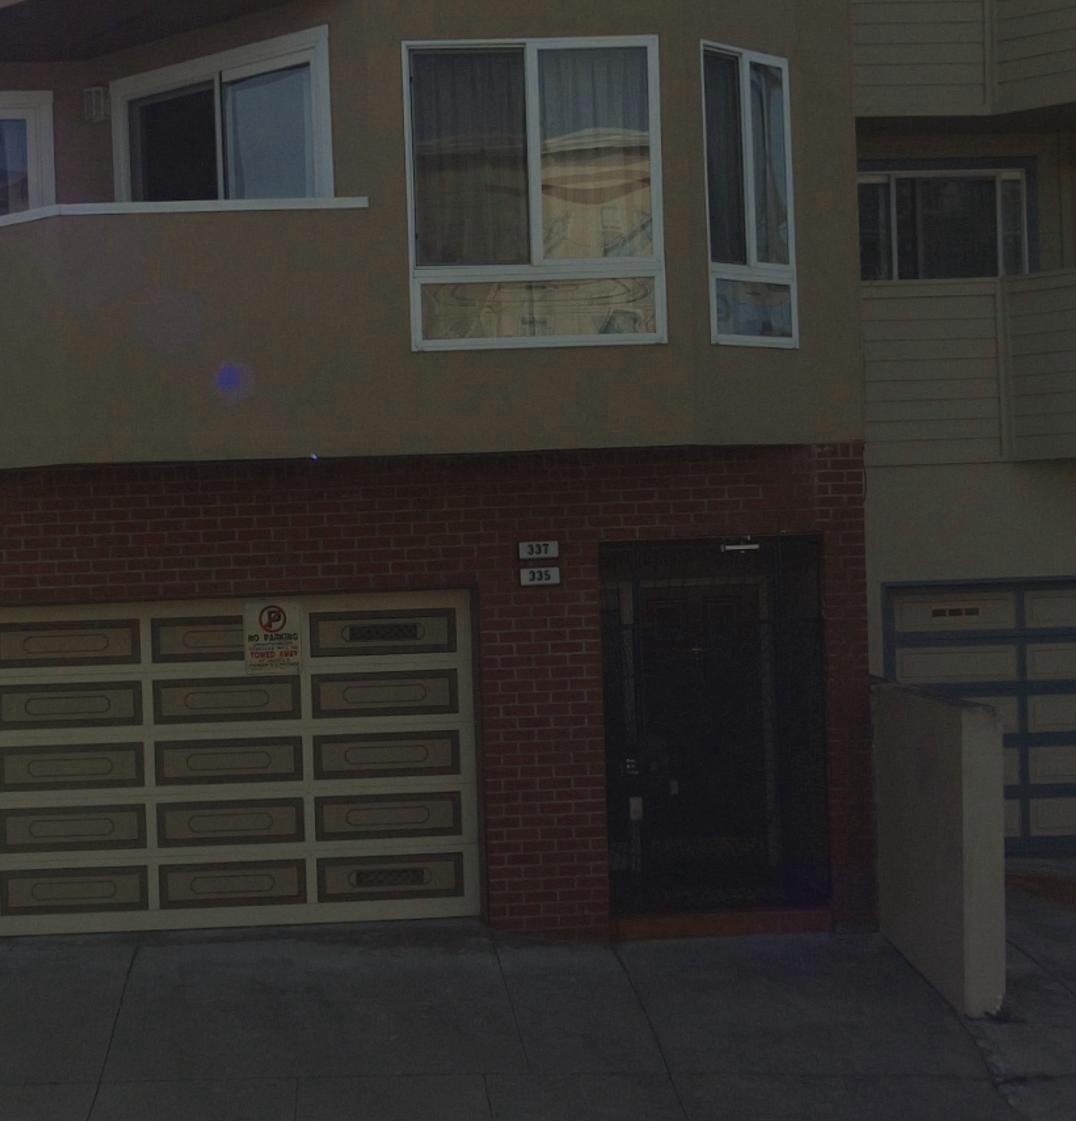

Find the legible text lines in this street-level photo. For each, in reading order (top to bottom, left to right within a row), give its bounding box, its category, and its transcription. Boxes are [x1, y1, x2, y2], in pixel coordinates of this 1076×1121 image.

[526, 543, 550, 555] StreetNumber: 337
[527, 569, 551, 582] StreetNumber: 335
[247, 632, 299, 643] None: NO PARKING
[249, 650, 299, 659] None: TOWED AW*Y